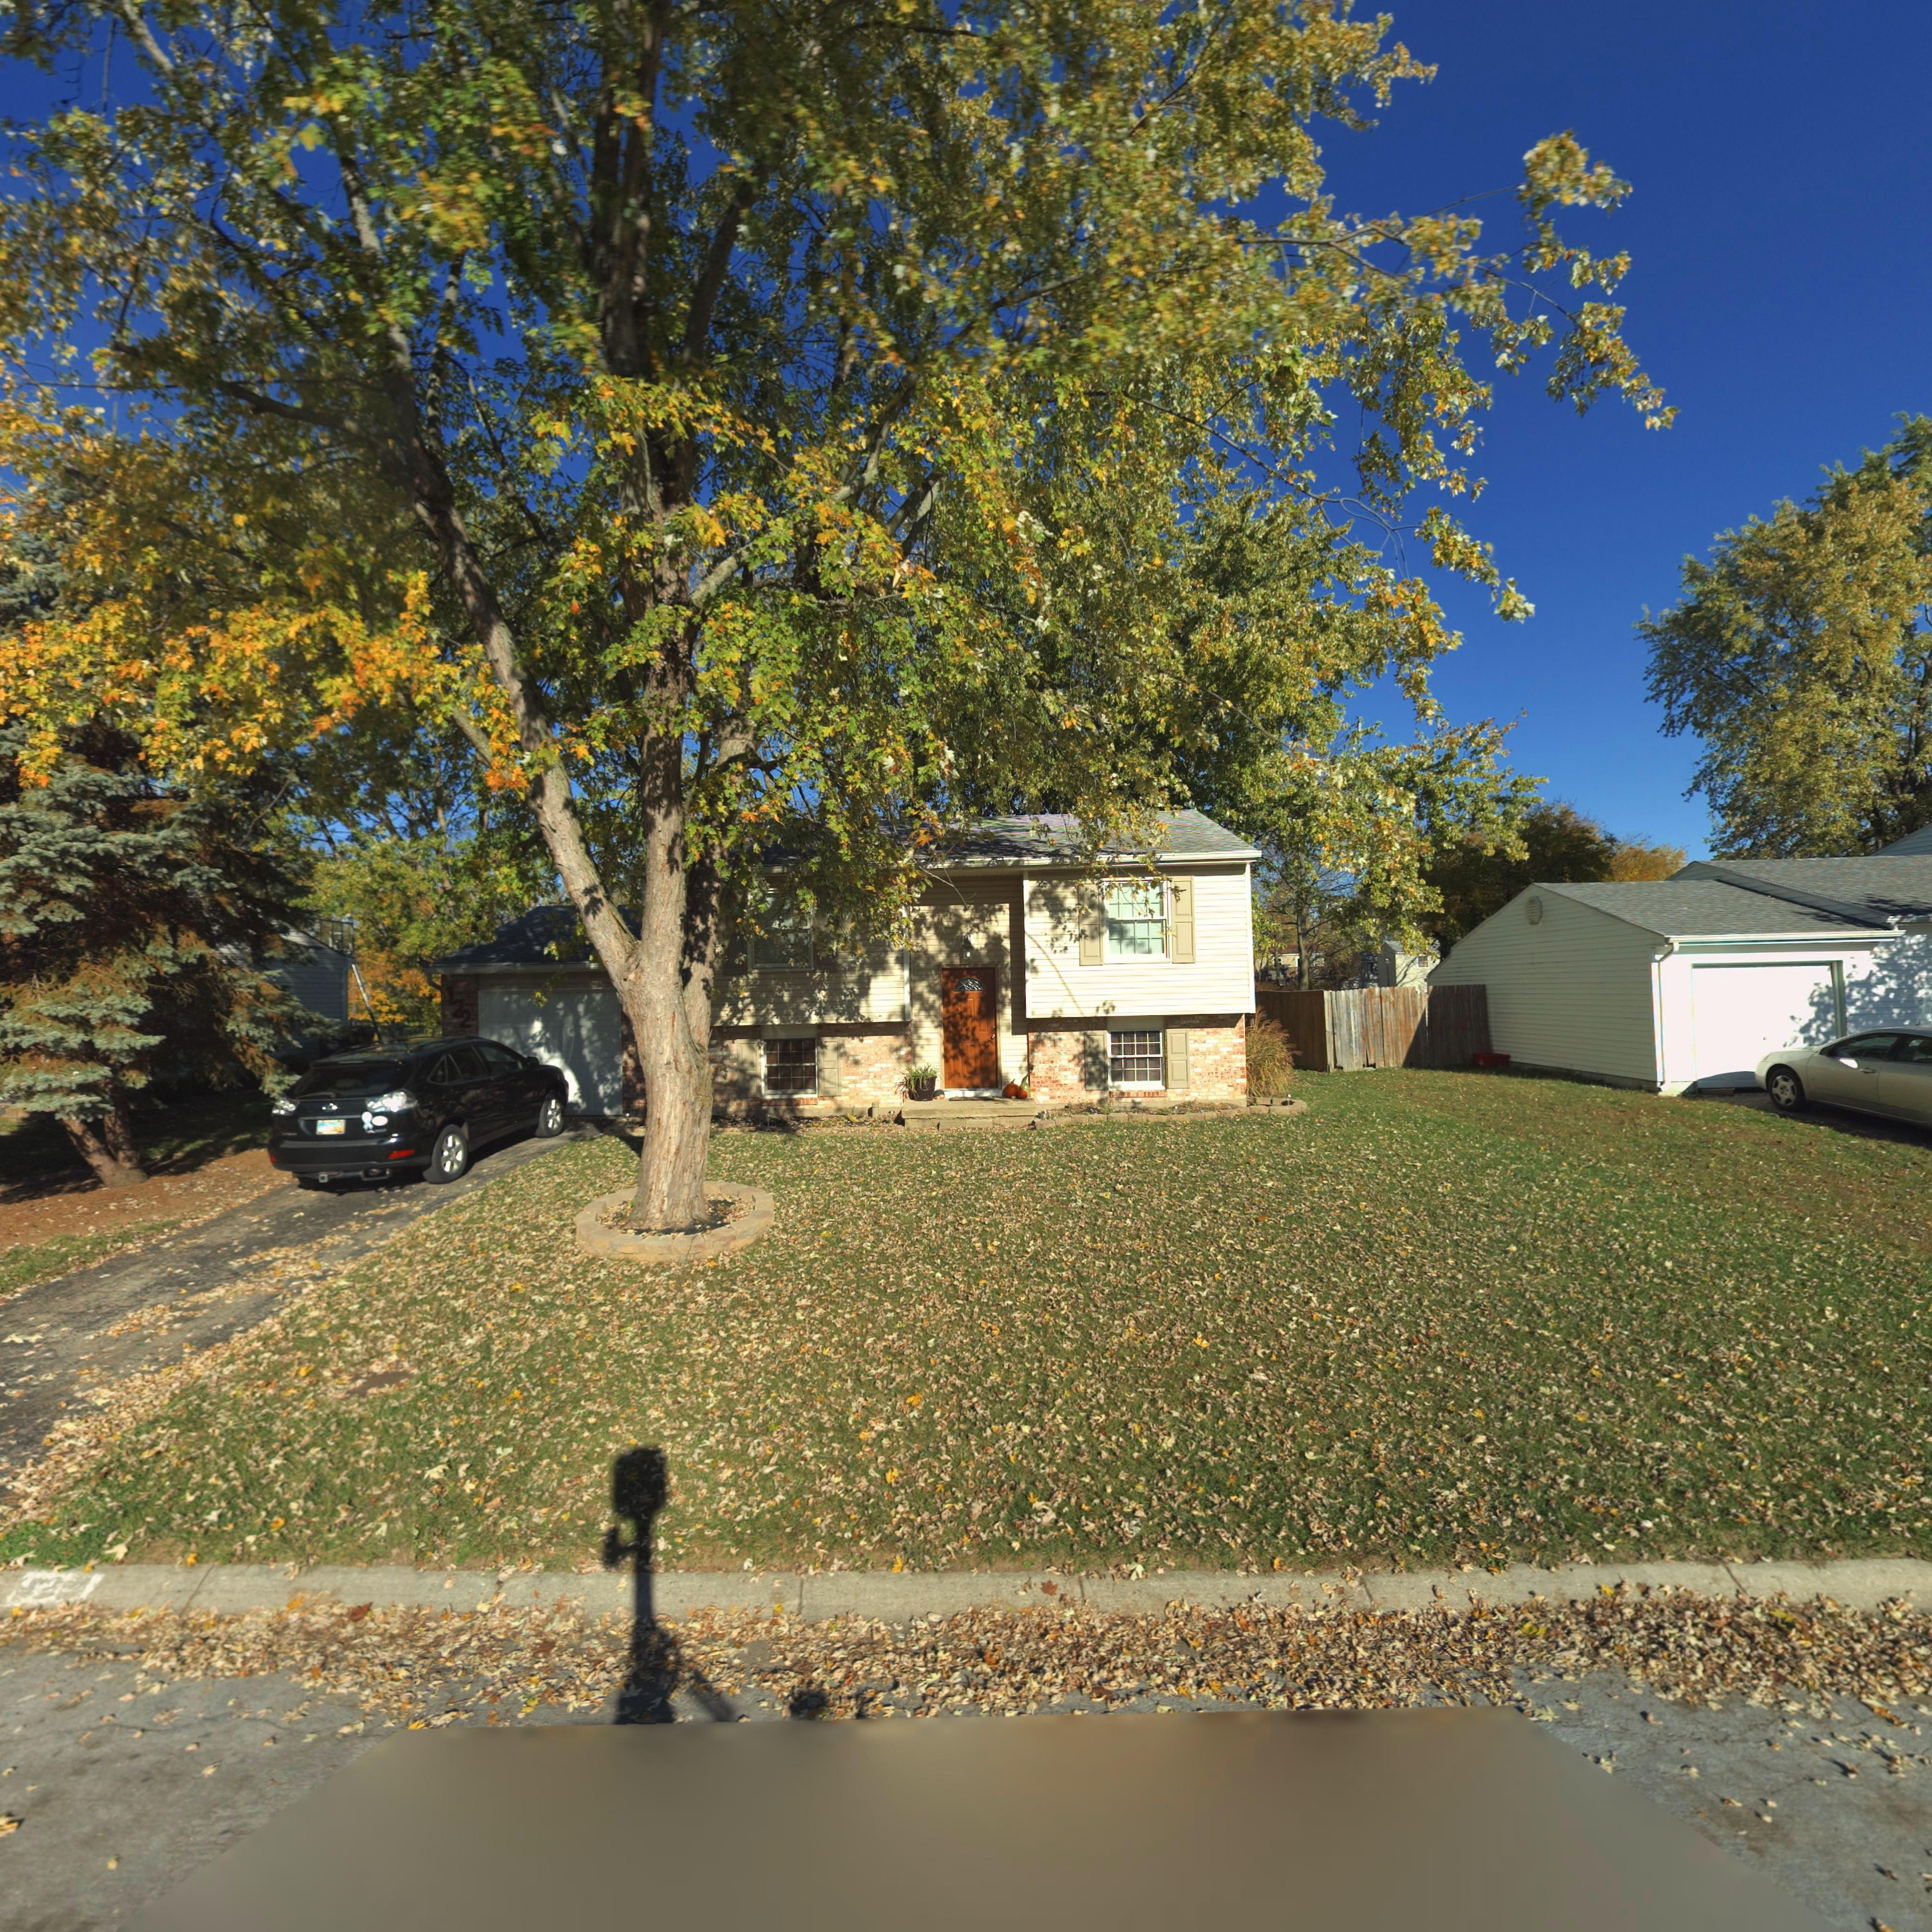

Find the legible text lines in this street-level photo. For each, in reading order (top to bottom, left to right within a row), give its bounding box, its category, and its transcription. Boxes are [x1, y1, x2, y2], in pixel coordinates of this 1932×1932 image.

[31, 1576, 65, 1600] StreetNumber: 2